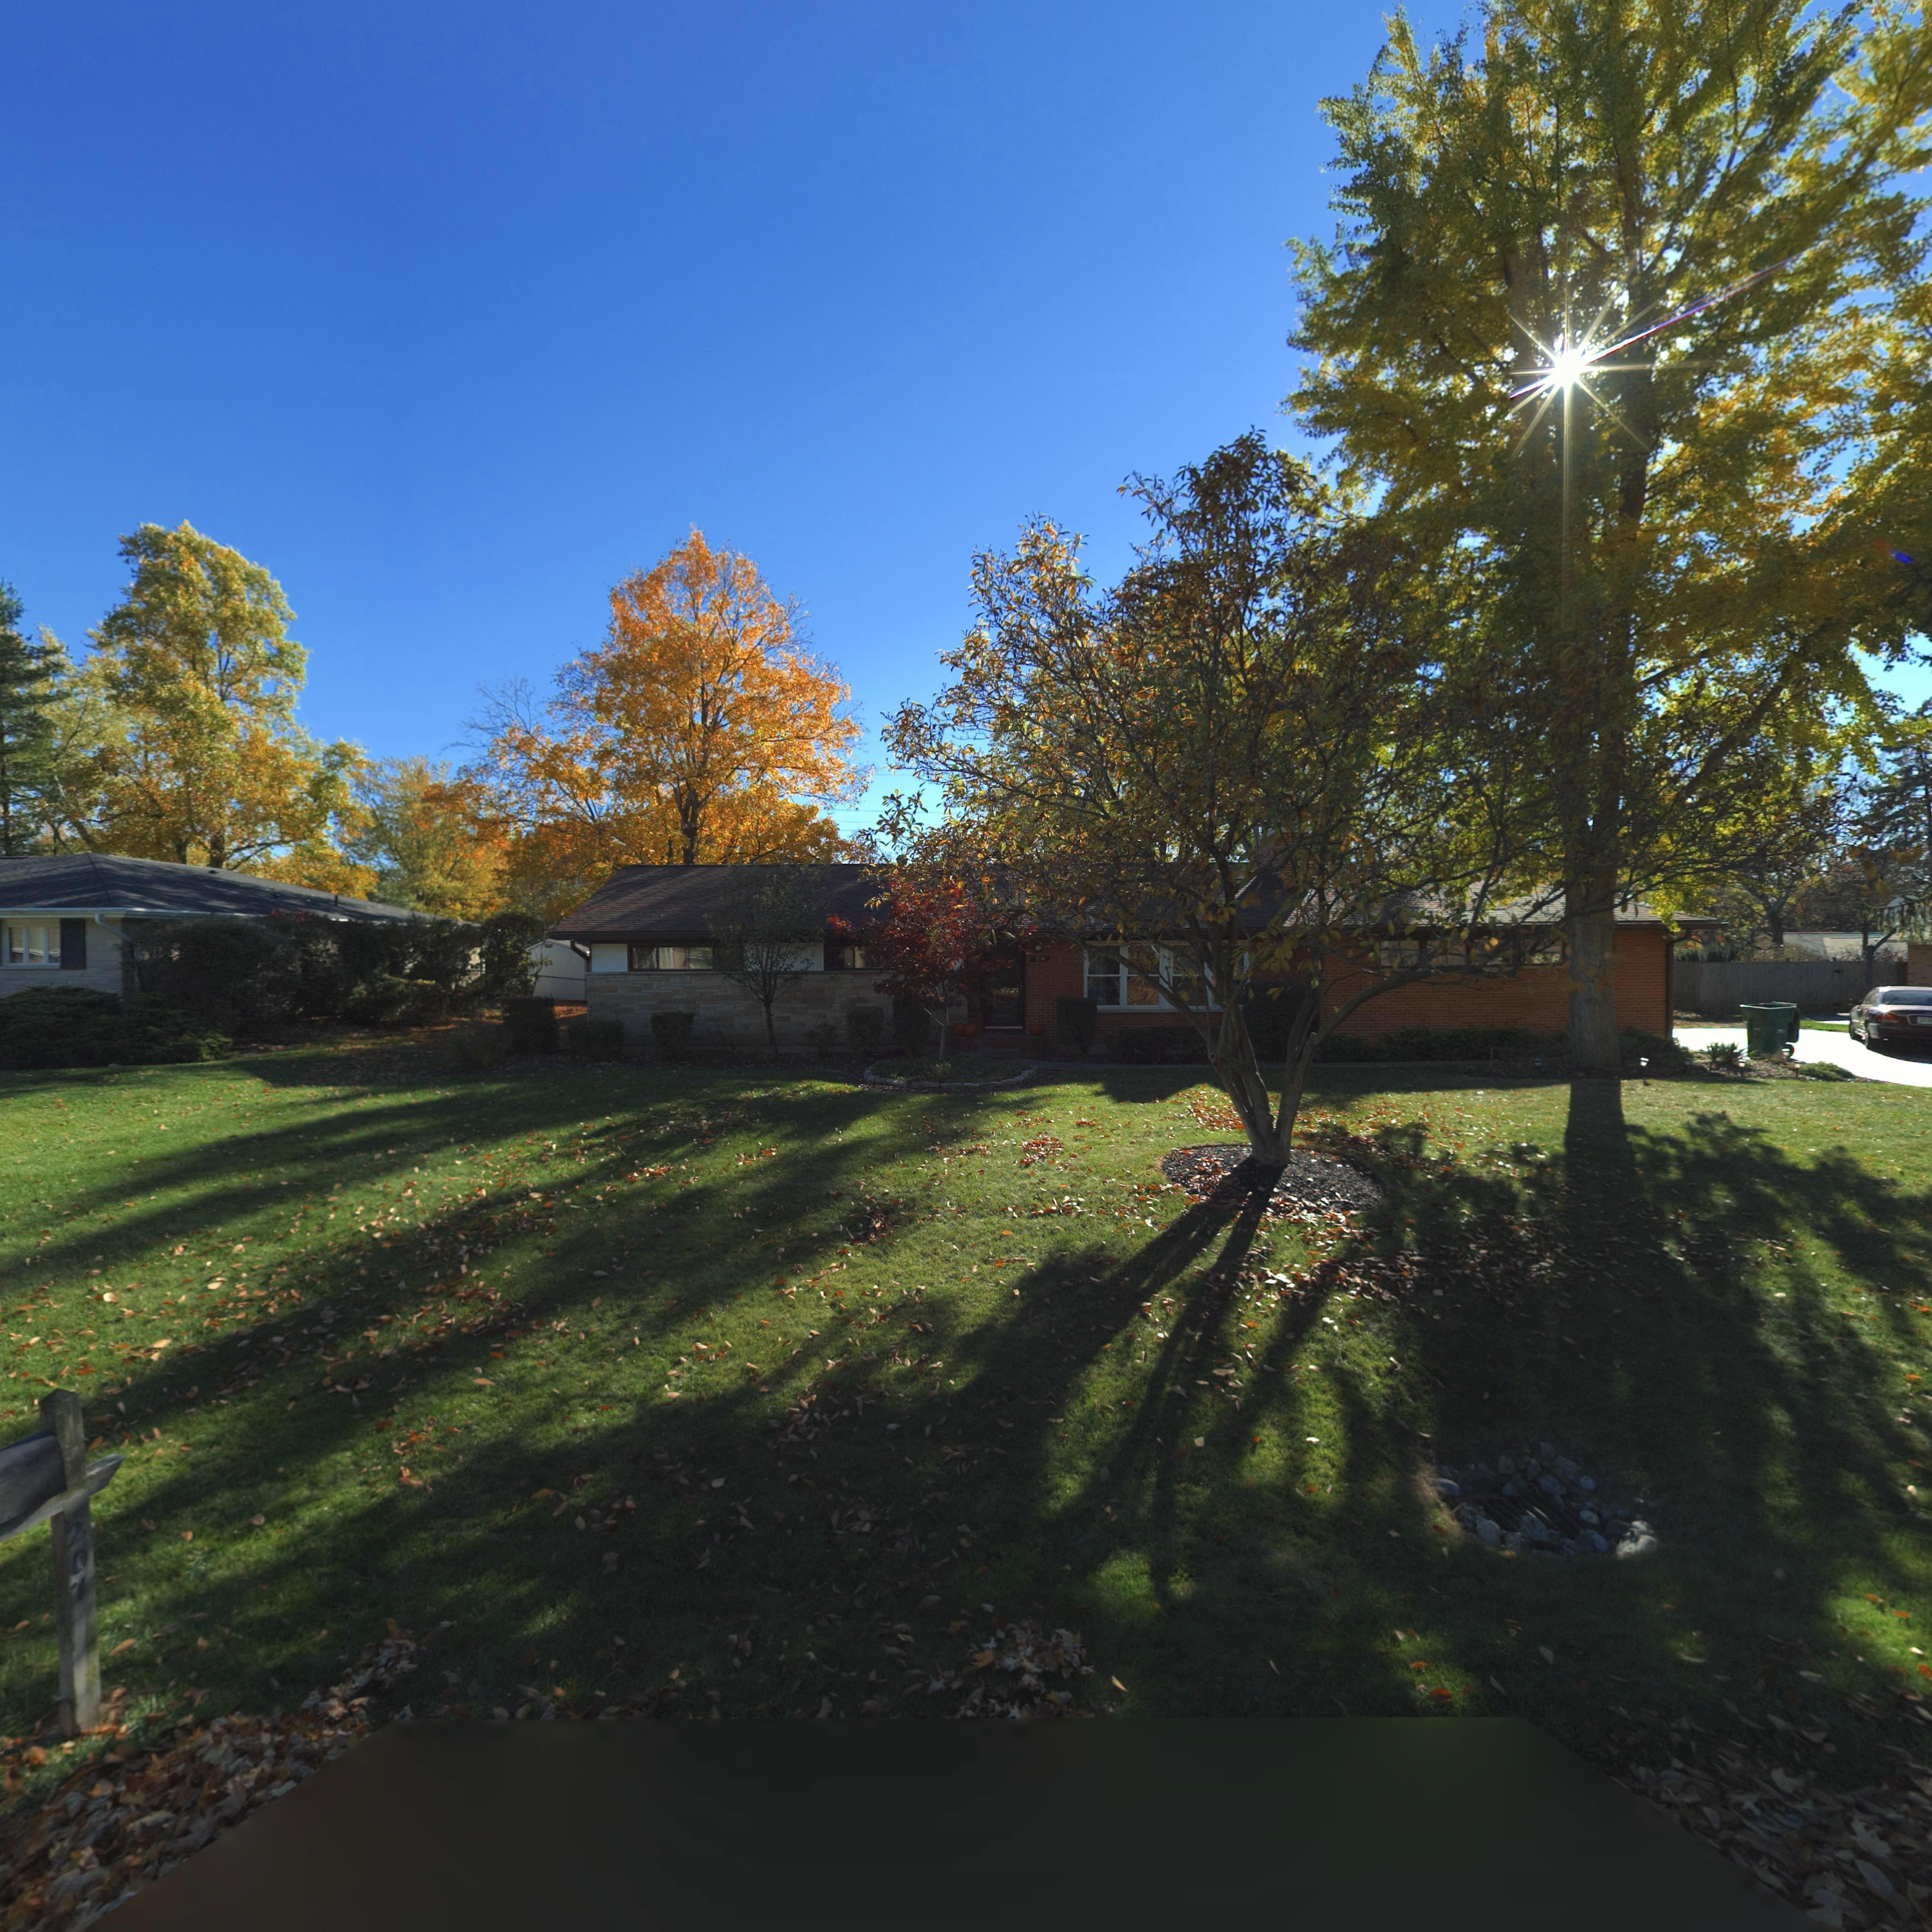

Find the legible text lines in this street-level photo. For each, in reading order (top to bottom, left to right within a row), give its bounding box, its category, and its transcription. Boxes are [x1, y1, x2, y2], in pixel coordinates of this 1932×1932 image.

[1035, 956, 1045, 961] StreetNumber: 210
[64, 1513, 91, 1608] StreetNumber: 207